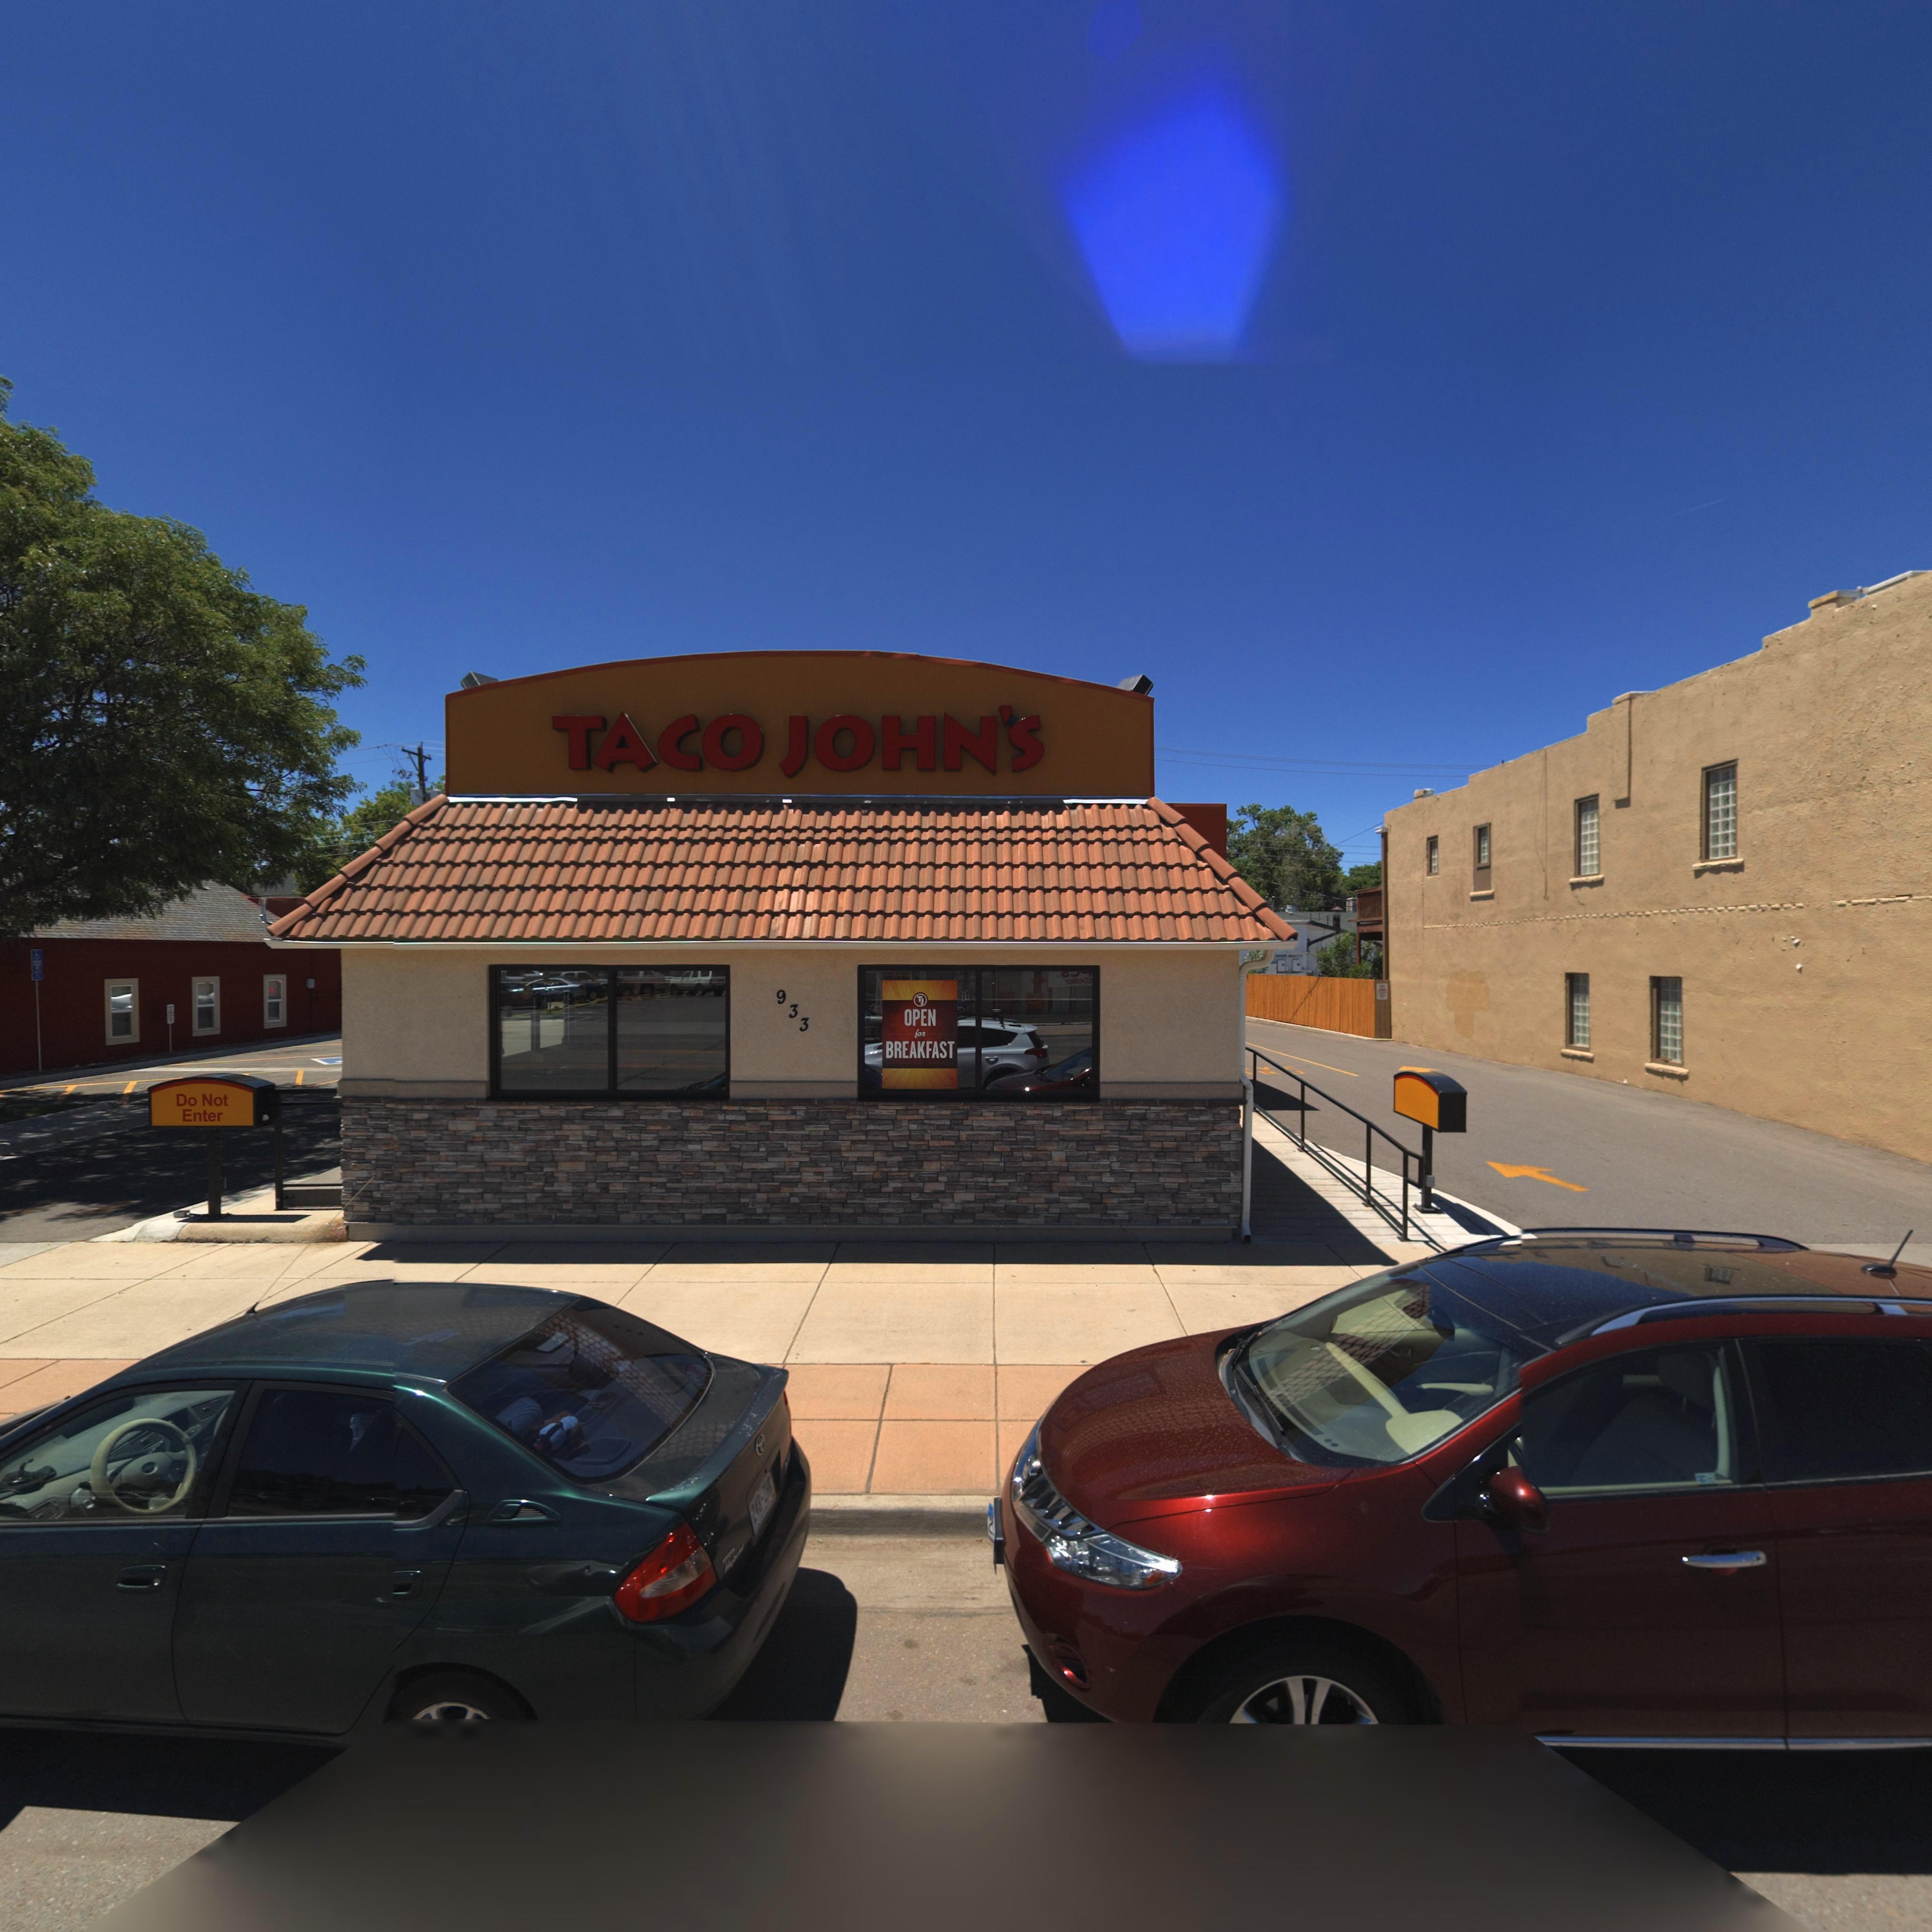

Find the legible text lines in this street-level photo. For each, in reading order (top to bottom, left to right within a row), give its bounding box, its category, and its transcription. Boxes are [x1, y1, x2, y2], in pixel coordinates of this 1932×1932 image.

[548, 703, 1047, 781] BusinessName: TACO JOHN'S
[775, 988, 811, 1033] StreetNumber: 933